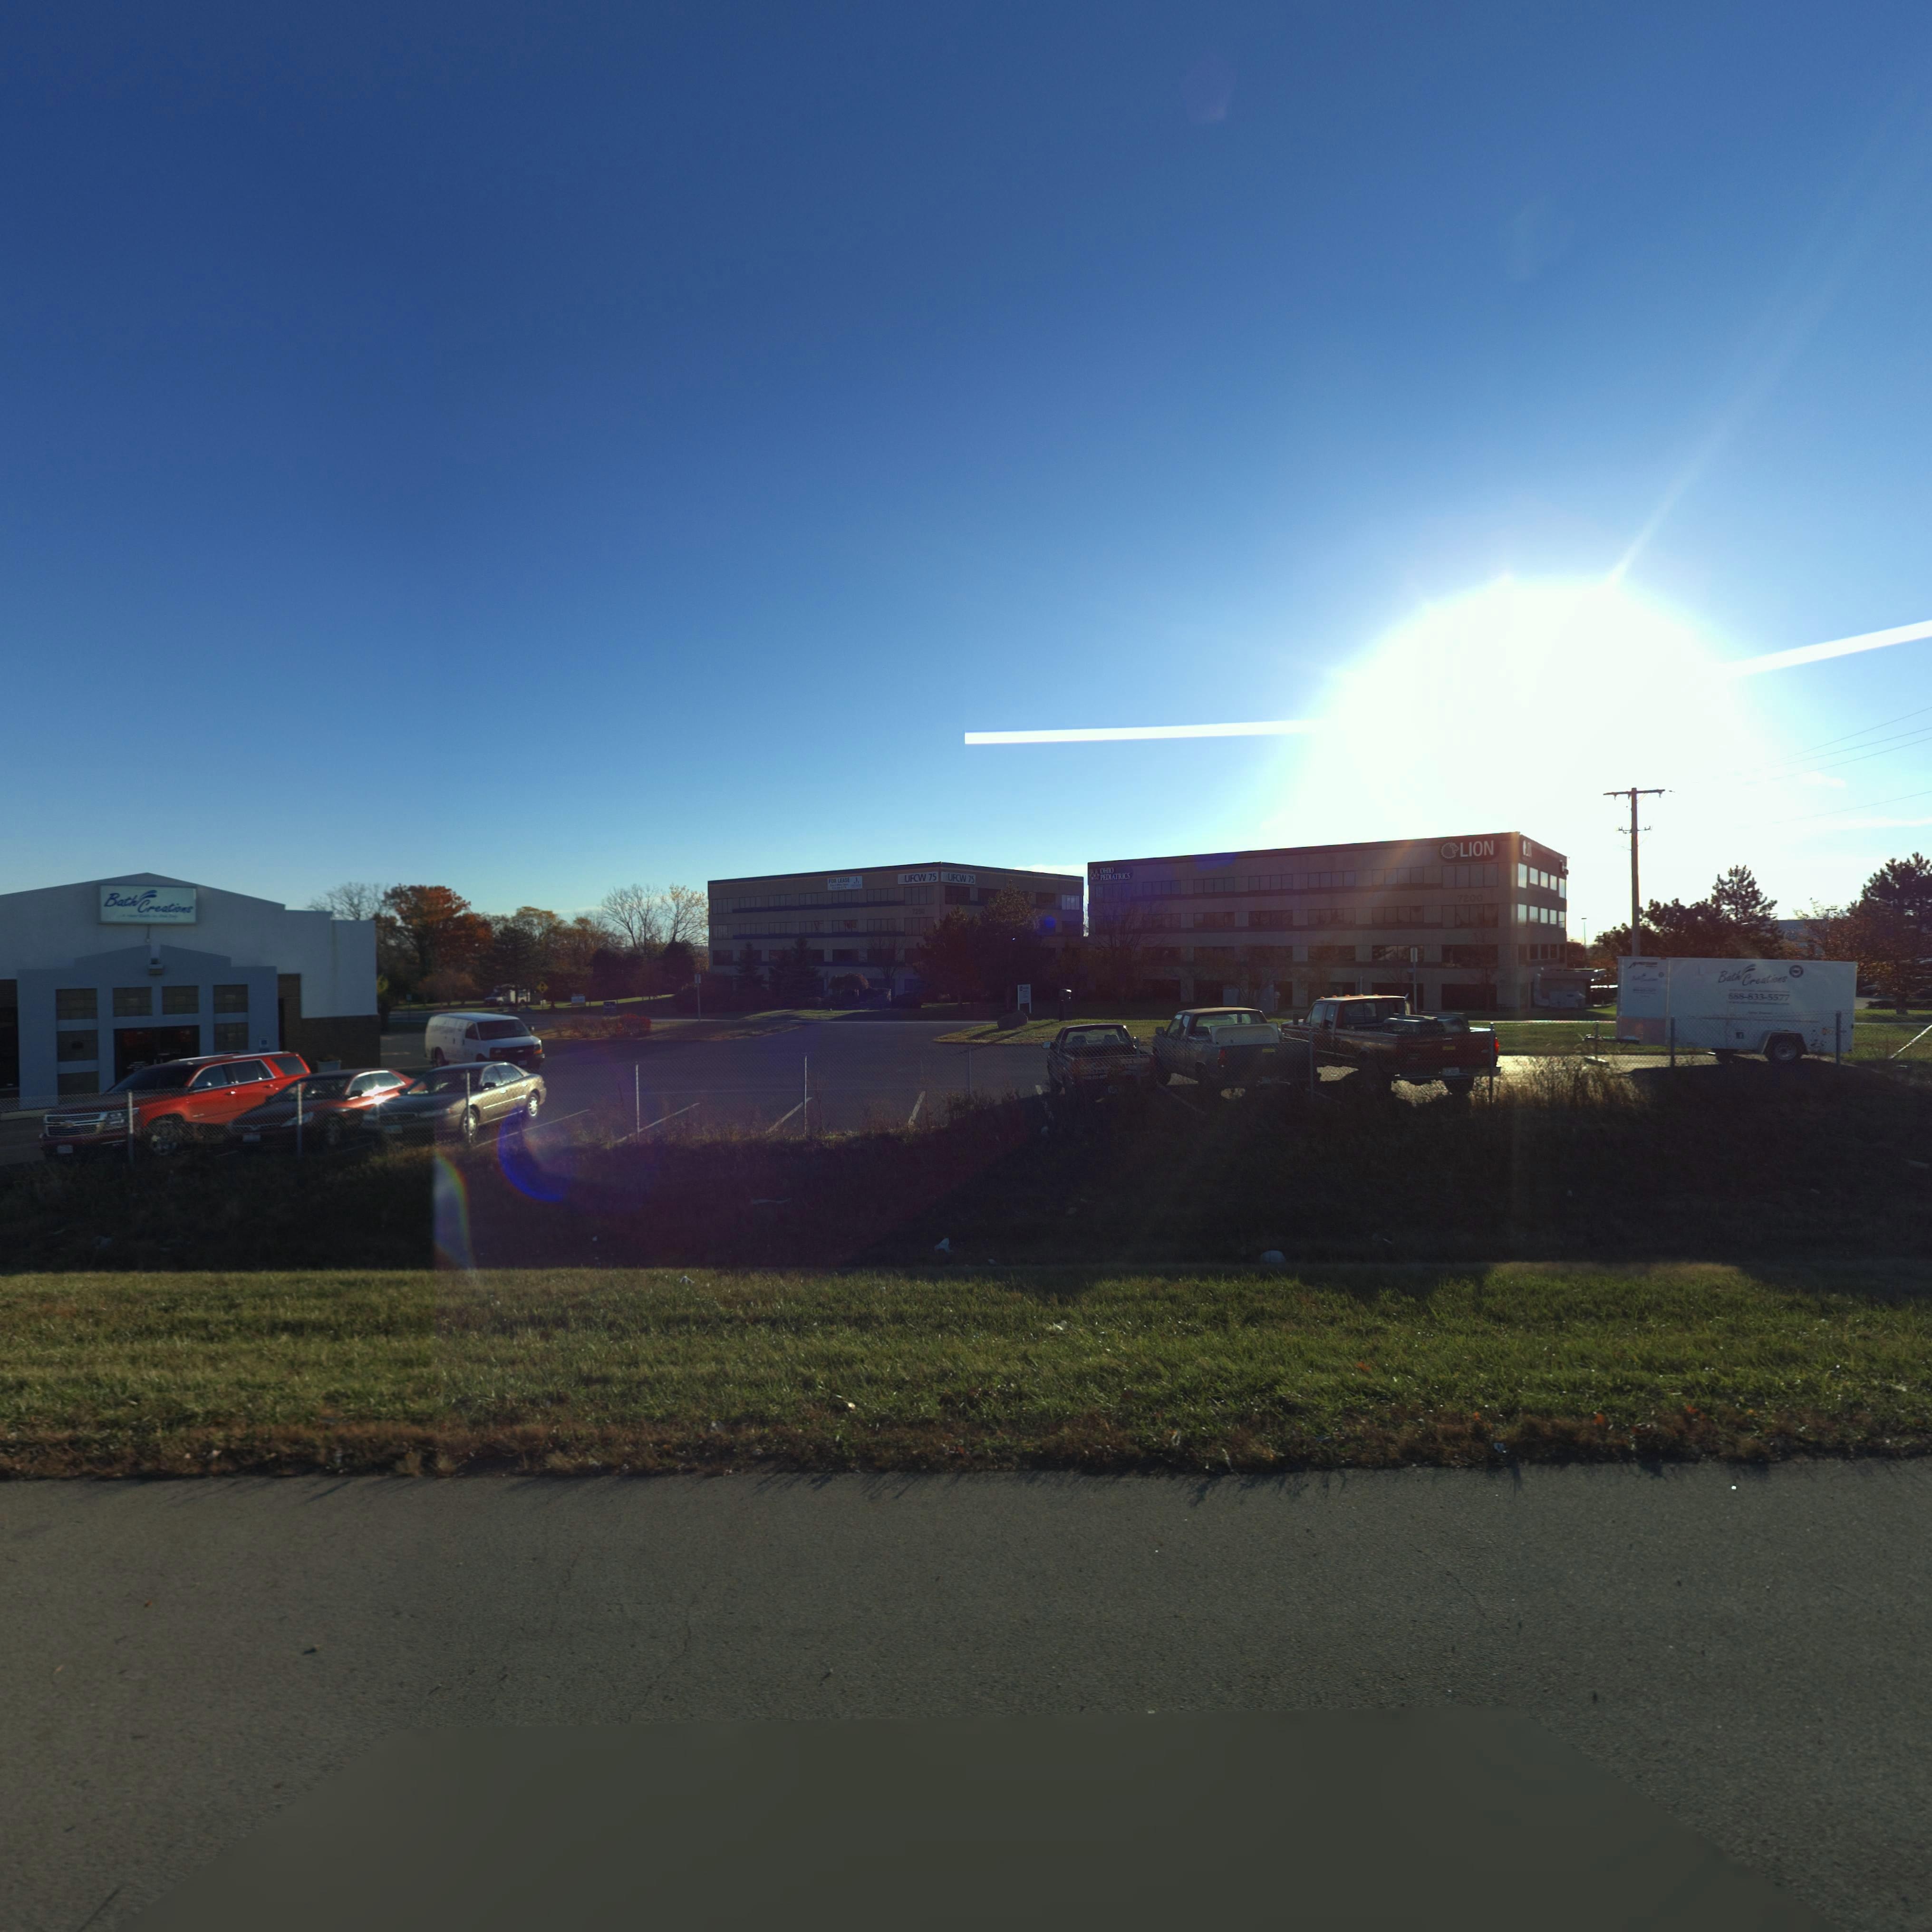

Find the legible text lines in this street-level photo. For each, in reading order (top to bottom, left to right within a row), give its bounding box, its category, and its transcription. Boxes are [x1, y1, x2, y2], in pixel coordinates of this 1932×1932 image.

[1459, 840, 1495, 859] BusinessName: LION
[1100, 866, 1116, 875] None: OHIO
[827, 876, 851, 885] None: FOR LEASE
[903, 872, 937, 882] None: UFCW 75
[946, 871, 977, 886] None: UFCW 75
[1098, 871, 1132, 881] None: PEDIATRICS
[101, 889, 195, 916] None: Bath Creations
[1455, 893, 1484, 904] StreetNumber: 7200
[910, 908, 926, 916] StreetNumber: 7250
[1718, 969, 1789, 986] BusinessName: Bath Creations
[1728, 992, 1791, 1003] None: 888-833-5577